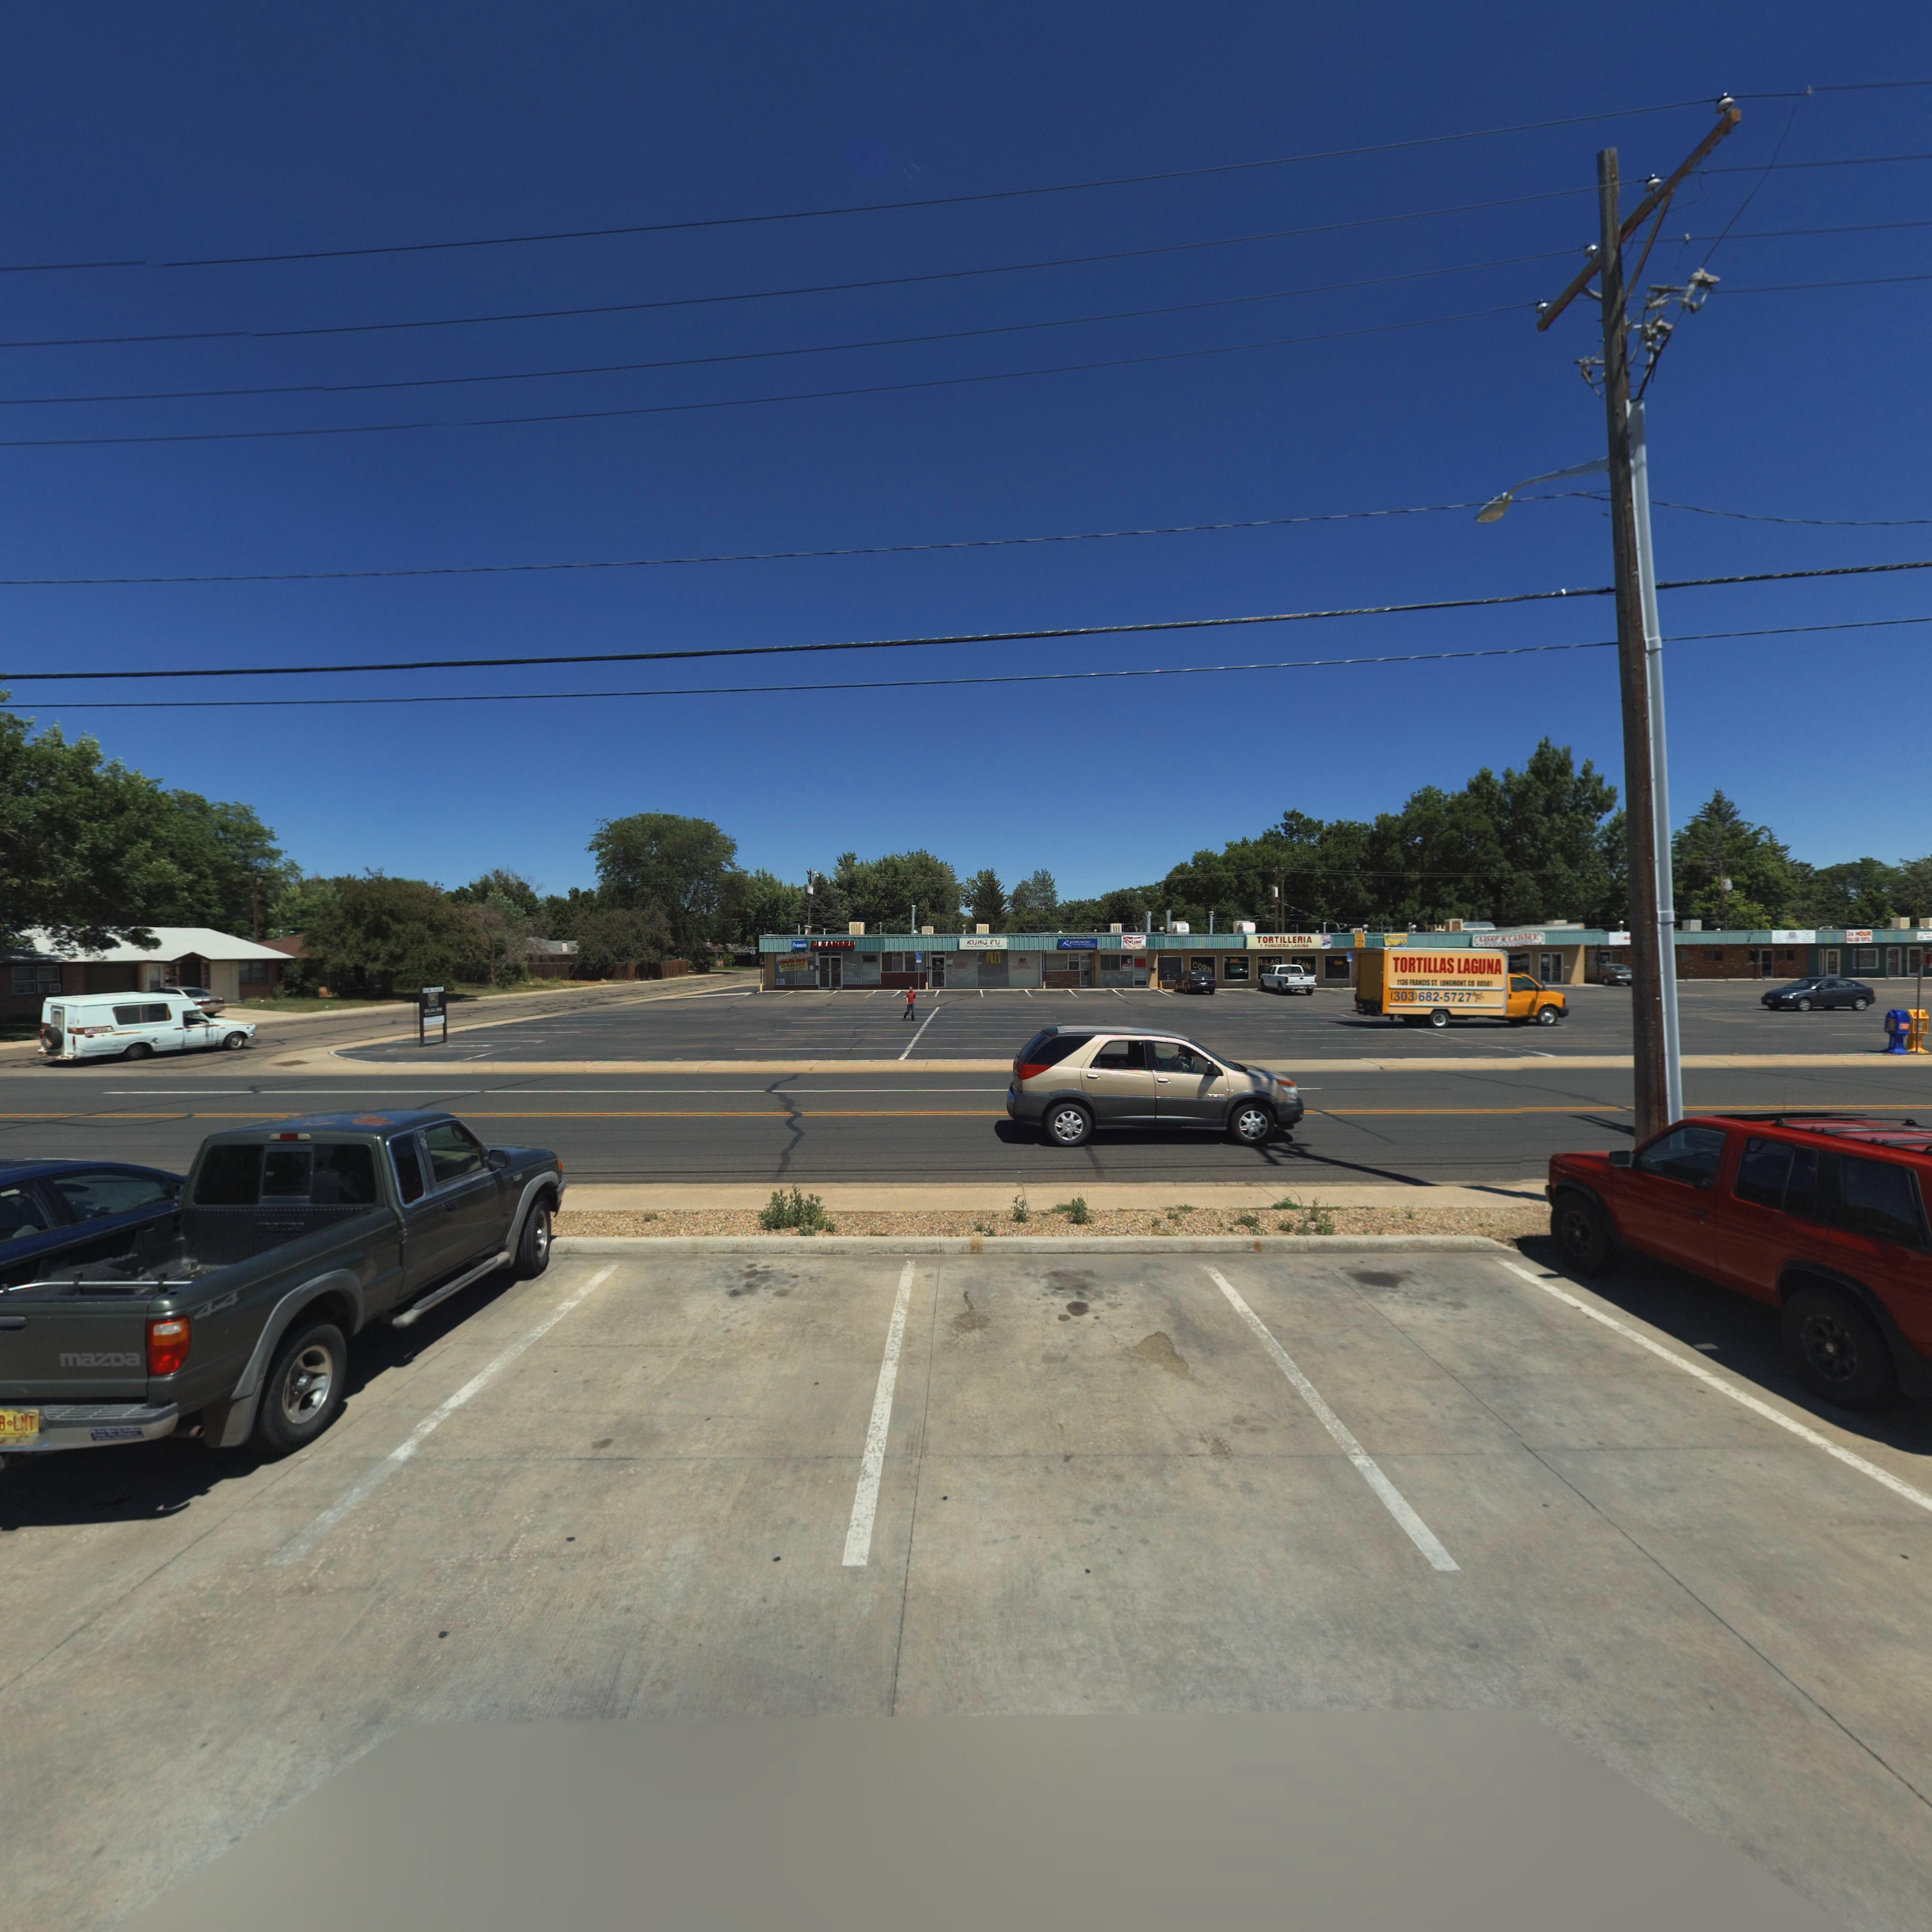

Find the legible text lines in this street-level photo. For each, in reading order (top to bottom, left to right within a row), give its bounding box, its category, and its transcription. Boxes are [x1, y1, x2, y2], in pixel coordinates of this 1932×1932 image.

[792, 941, 806, 947] BusinessName: Francis
[810, 939, 854, 948] BusinessName: CLEANERS
[966, 939, 1001, 945] BusinessName: KUNG FU
[1256, 936, 1313, 943] BusinessName: TORTILLERIA
[1260, 943, 1309, 947] BusinessName: * PA****R** LAG***
[1478, 933, 1539, 942] BusinessName: LOAF * LA**DLE
[1622, 935, 1630, 940] BusinessName: A